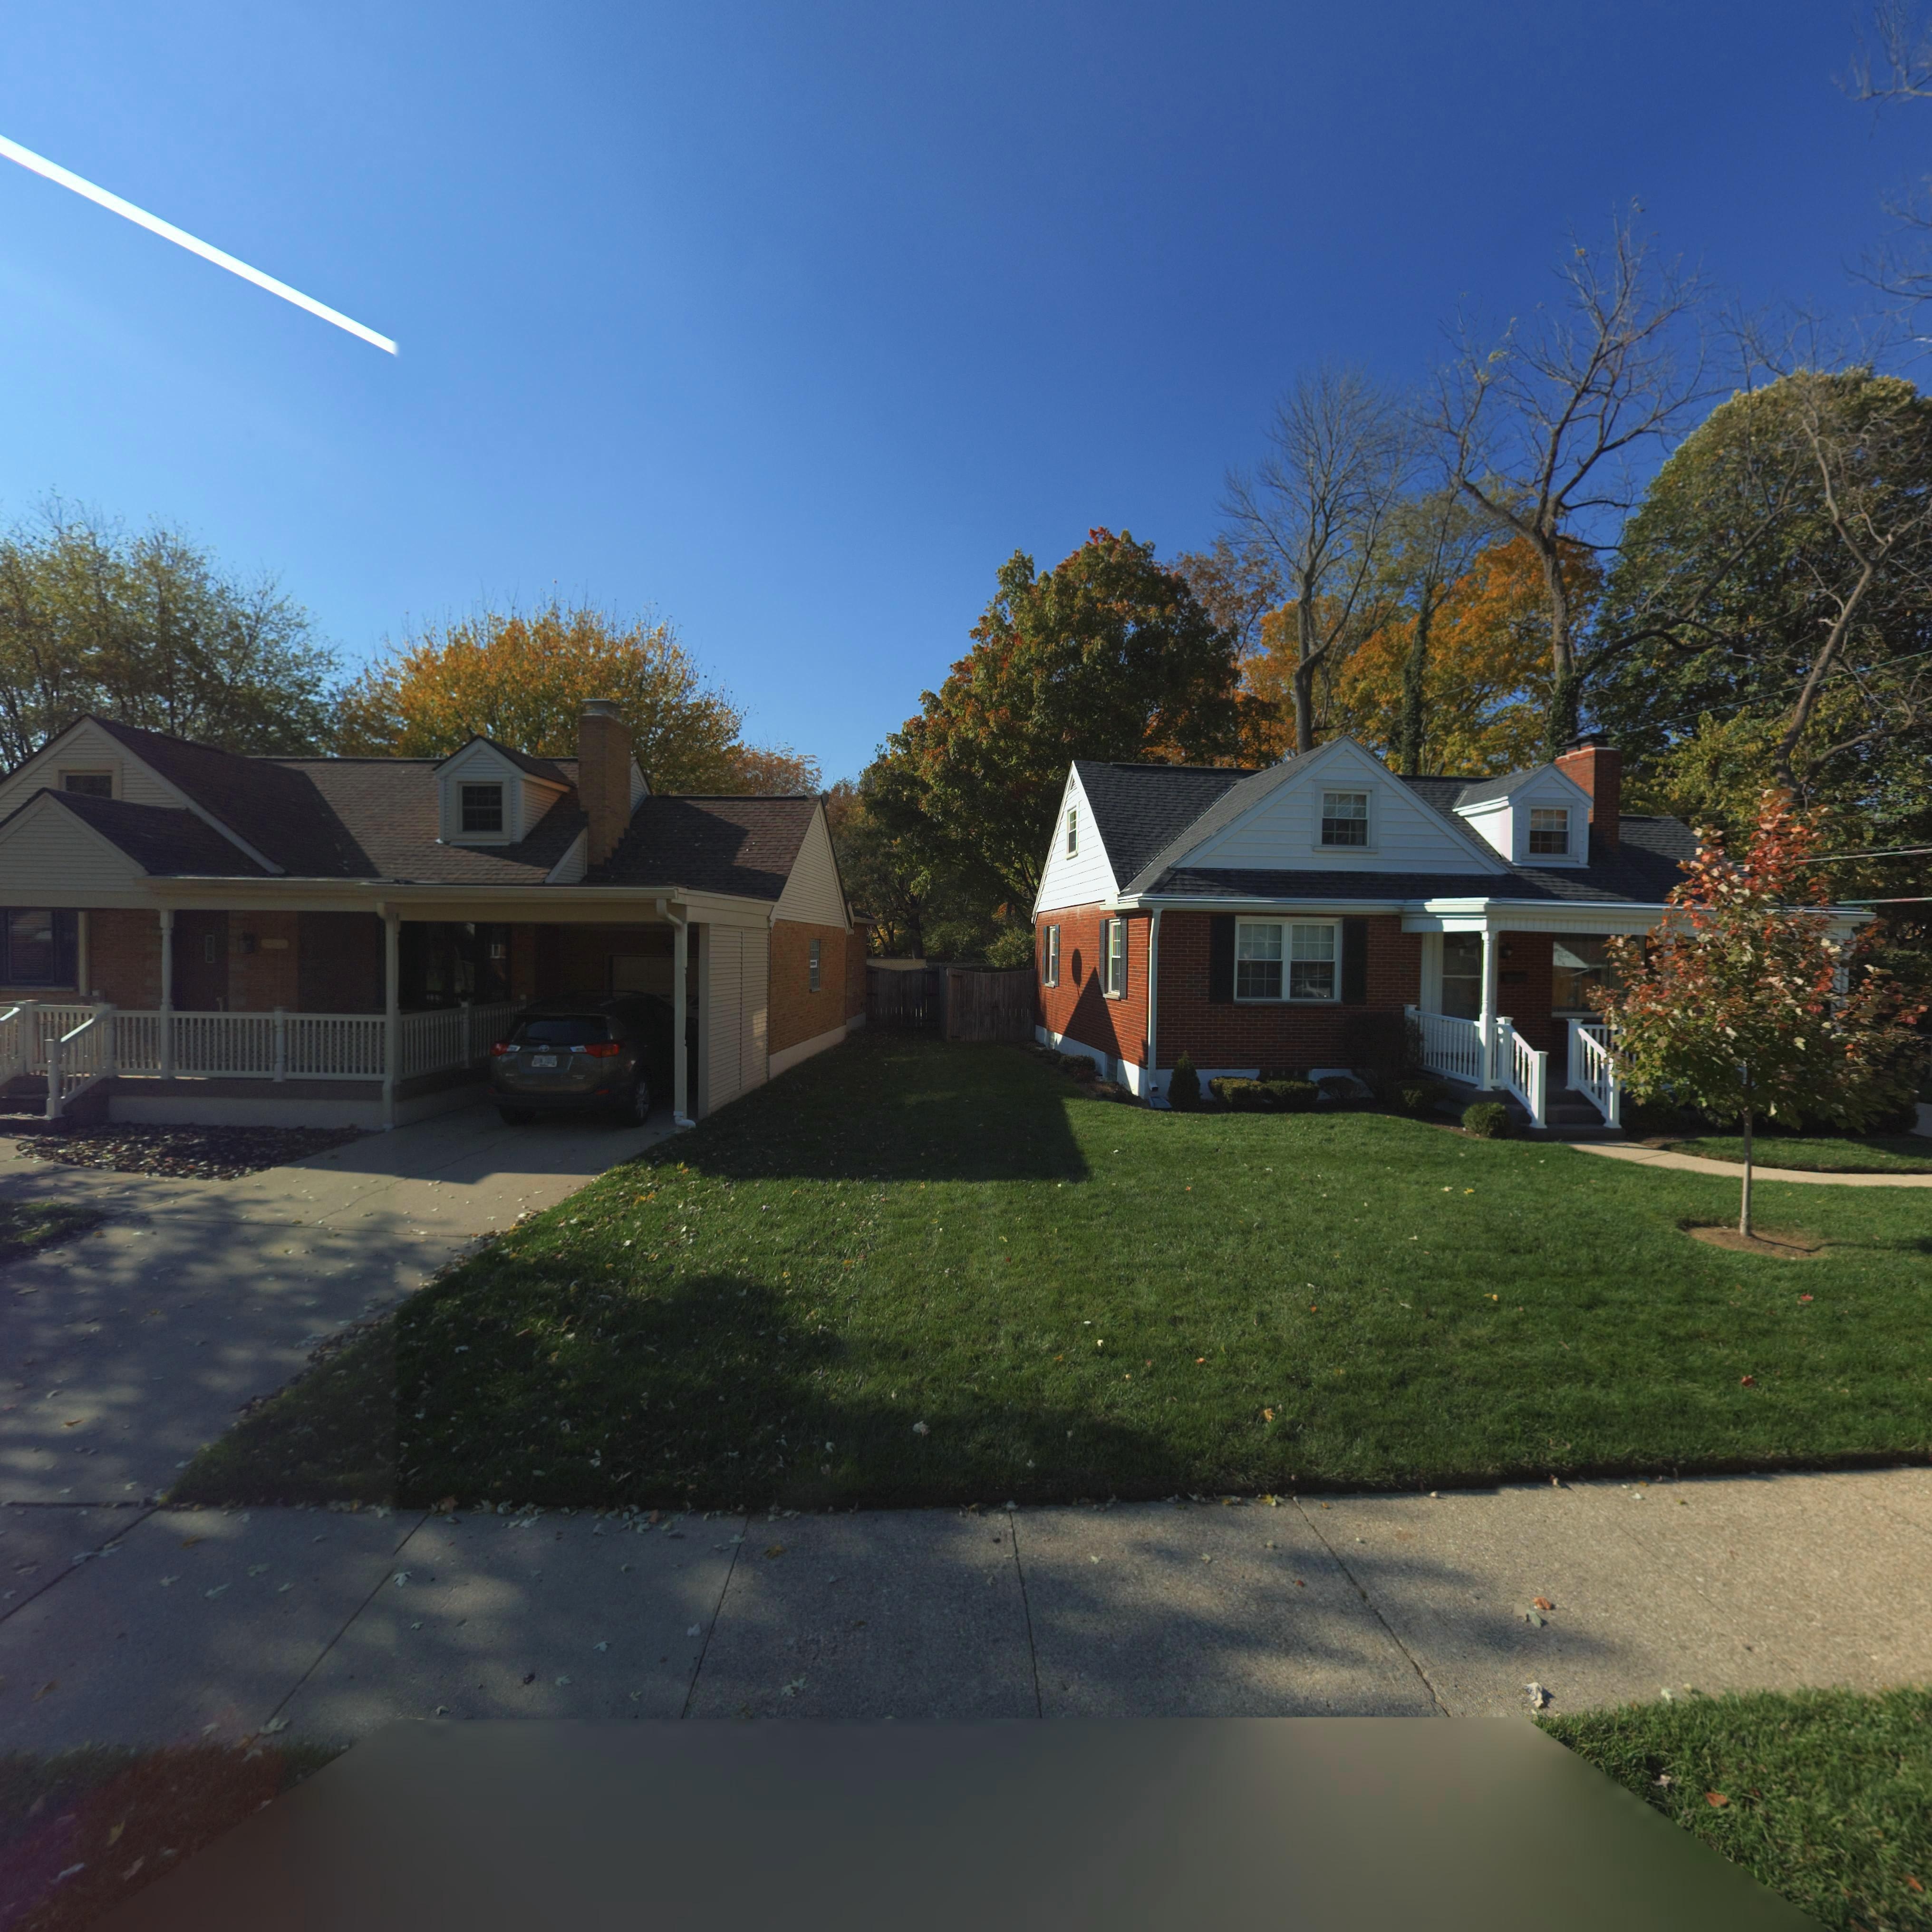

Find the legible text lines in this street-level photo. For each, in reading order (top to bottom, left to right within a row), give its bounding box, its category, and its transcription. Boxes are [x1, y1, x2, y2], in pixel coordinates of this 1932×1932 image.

[533, 1057, 556, 1064] None: B*N*7*59